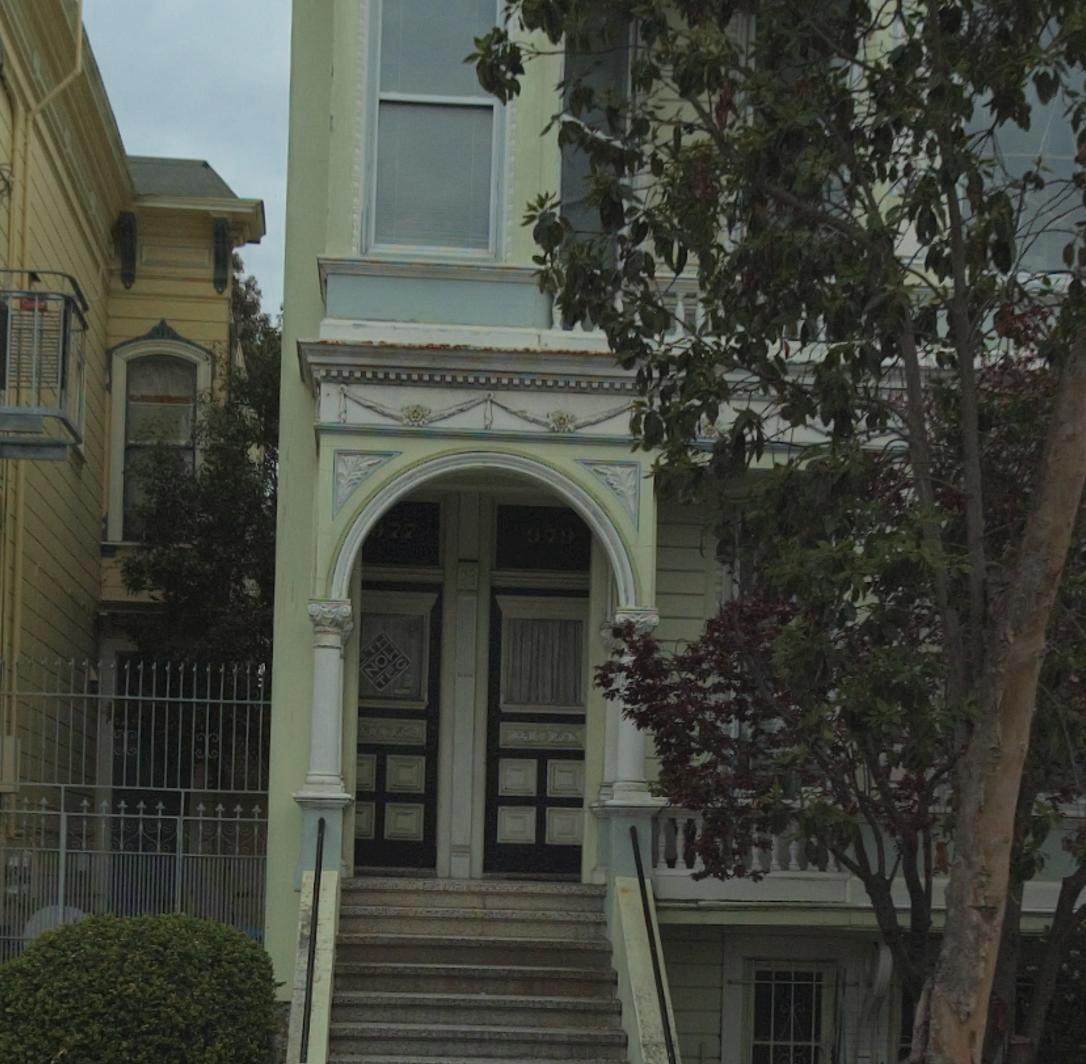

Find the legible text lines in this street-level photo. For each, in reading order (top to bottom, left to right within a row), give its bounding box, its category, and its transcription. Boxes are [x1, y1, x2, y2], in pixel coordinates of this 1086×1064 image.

[367, 519, 419, 540] StreetNumber: *77
[526, 526, 576, 546] StreetNumber: 979